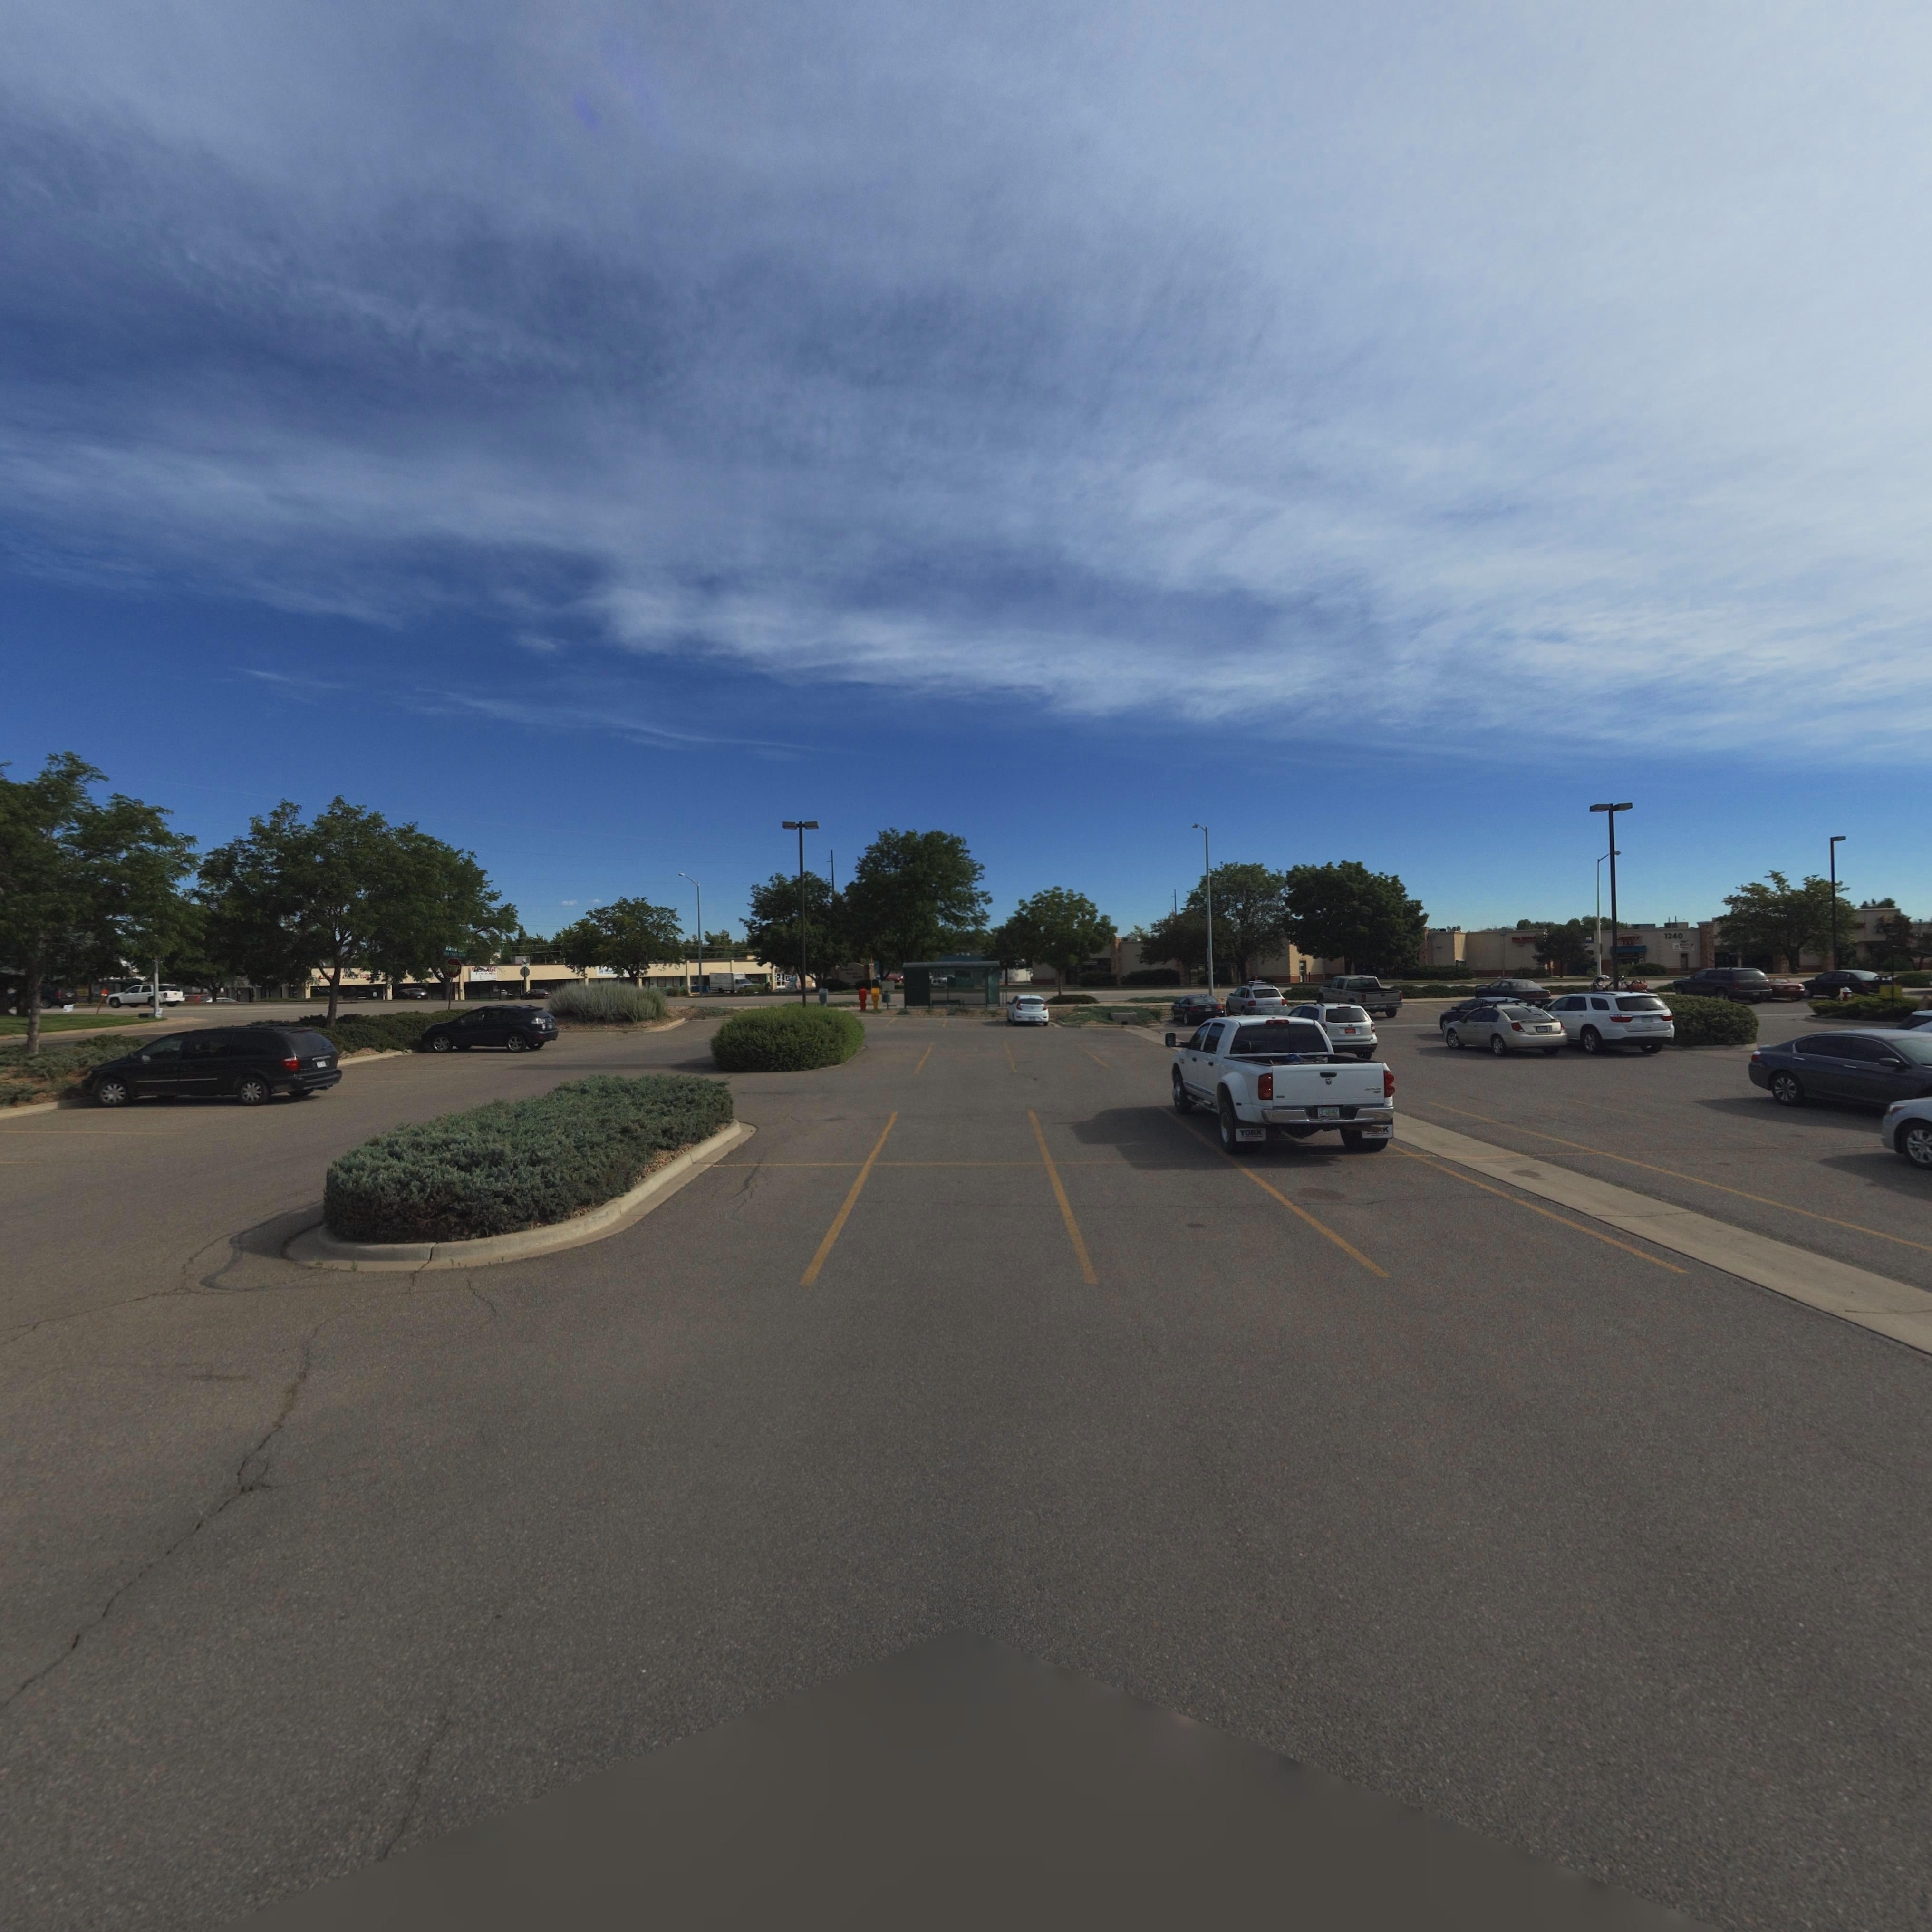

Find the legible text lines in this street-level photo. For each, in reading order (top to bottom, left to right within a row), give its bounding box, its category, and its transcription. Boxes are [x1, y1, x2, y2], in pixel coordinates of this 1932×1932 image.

[1616, 936, 1640, 940] BusinessName: *IBERTY
[1664, 933, 1683, 939] StreetNumber: 1240
[1622, 940, 1634, 945] BusinessName: TA*
[444, 951, 465, 957] StreetName: *E* PRAT* BLV*
[471, 967, 497, 972] BusinessName: *****GE
[318, 975, 340, 979] BusinessName: L*******
[360, 974, 369, 978] BusinessName: CLUB